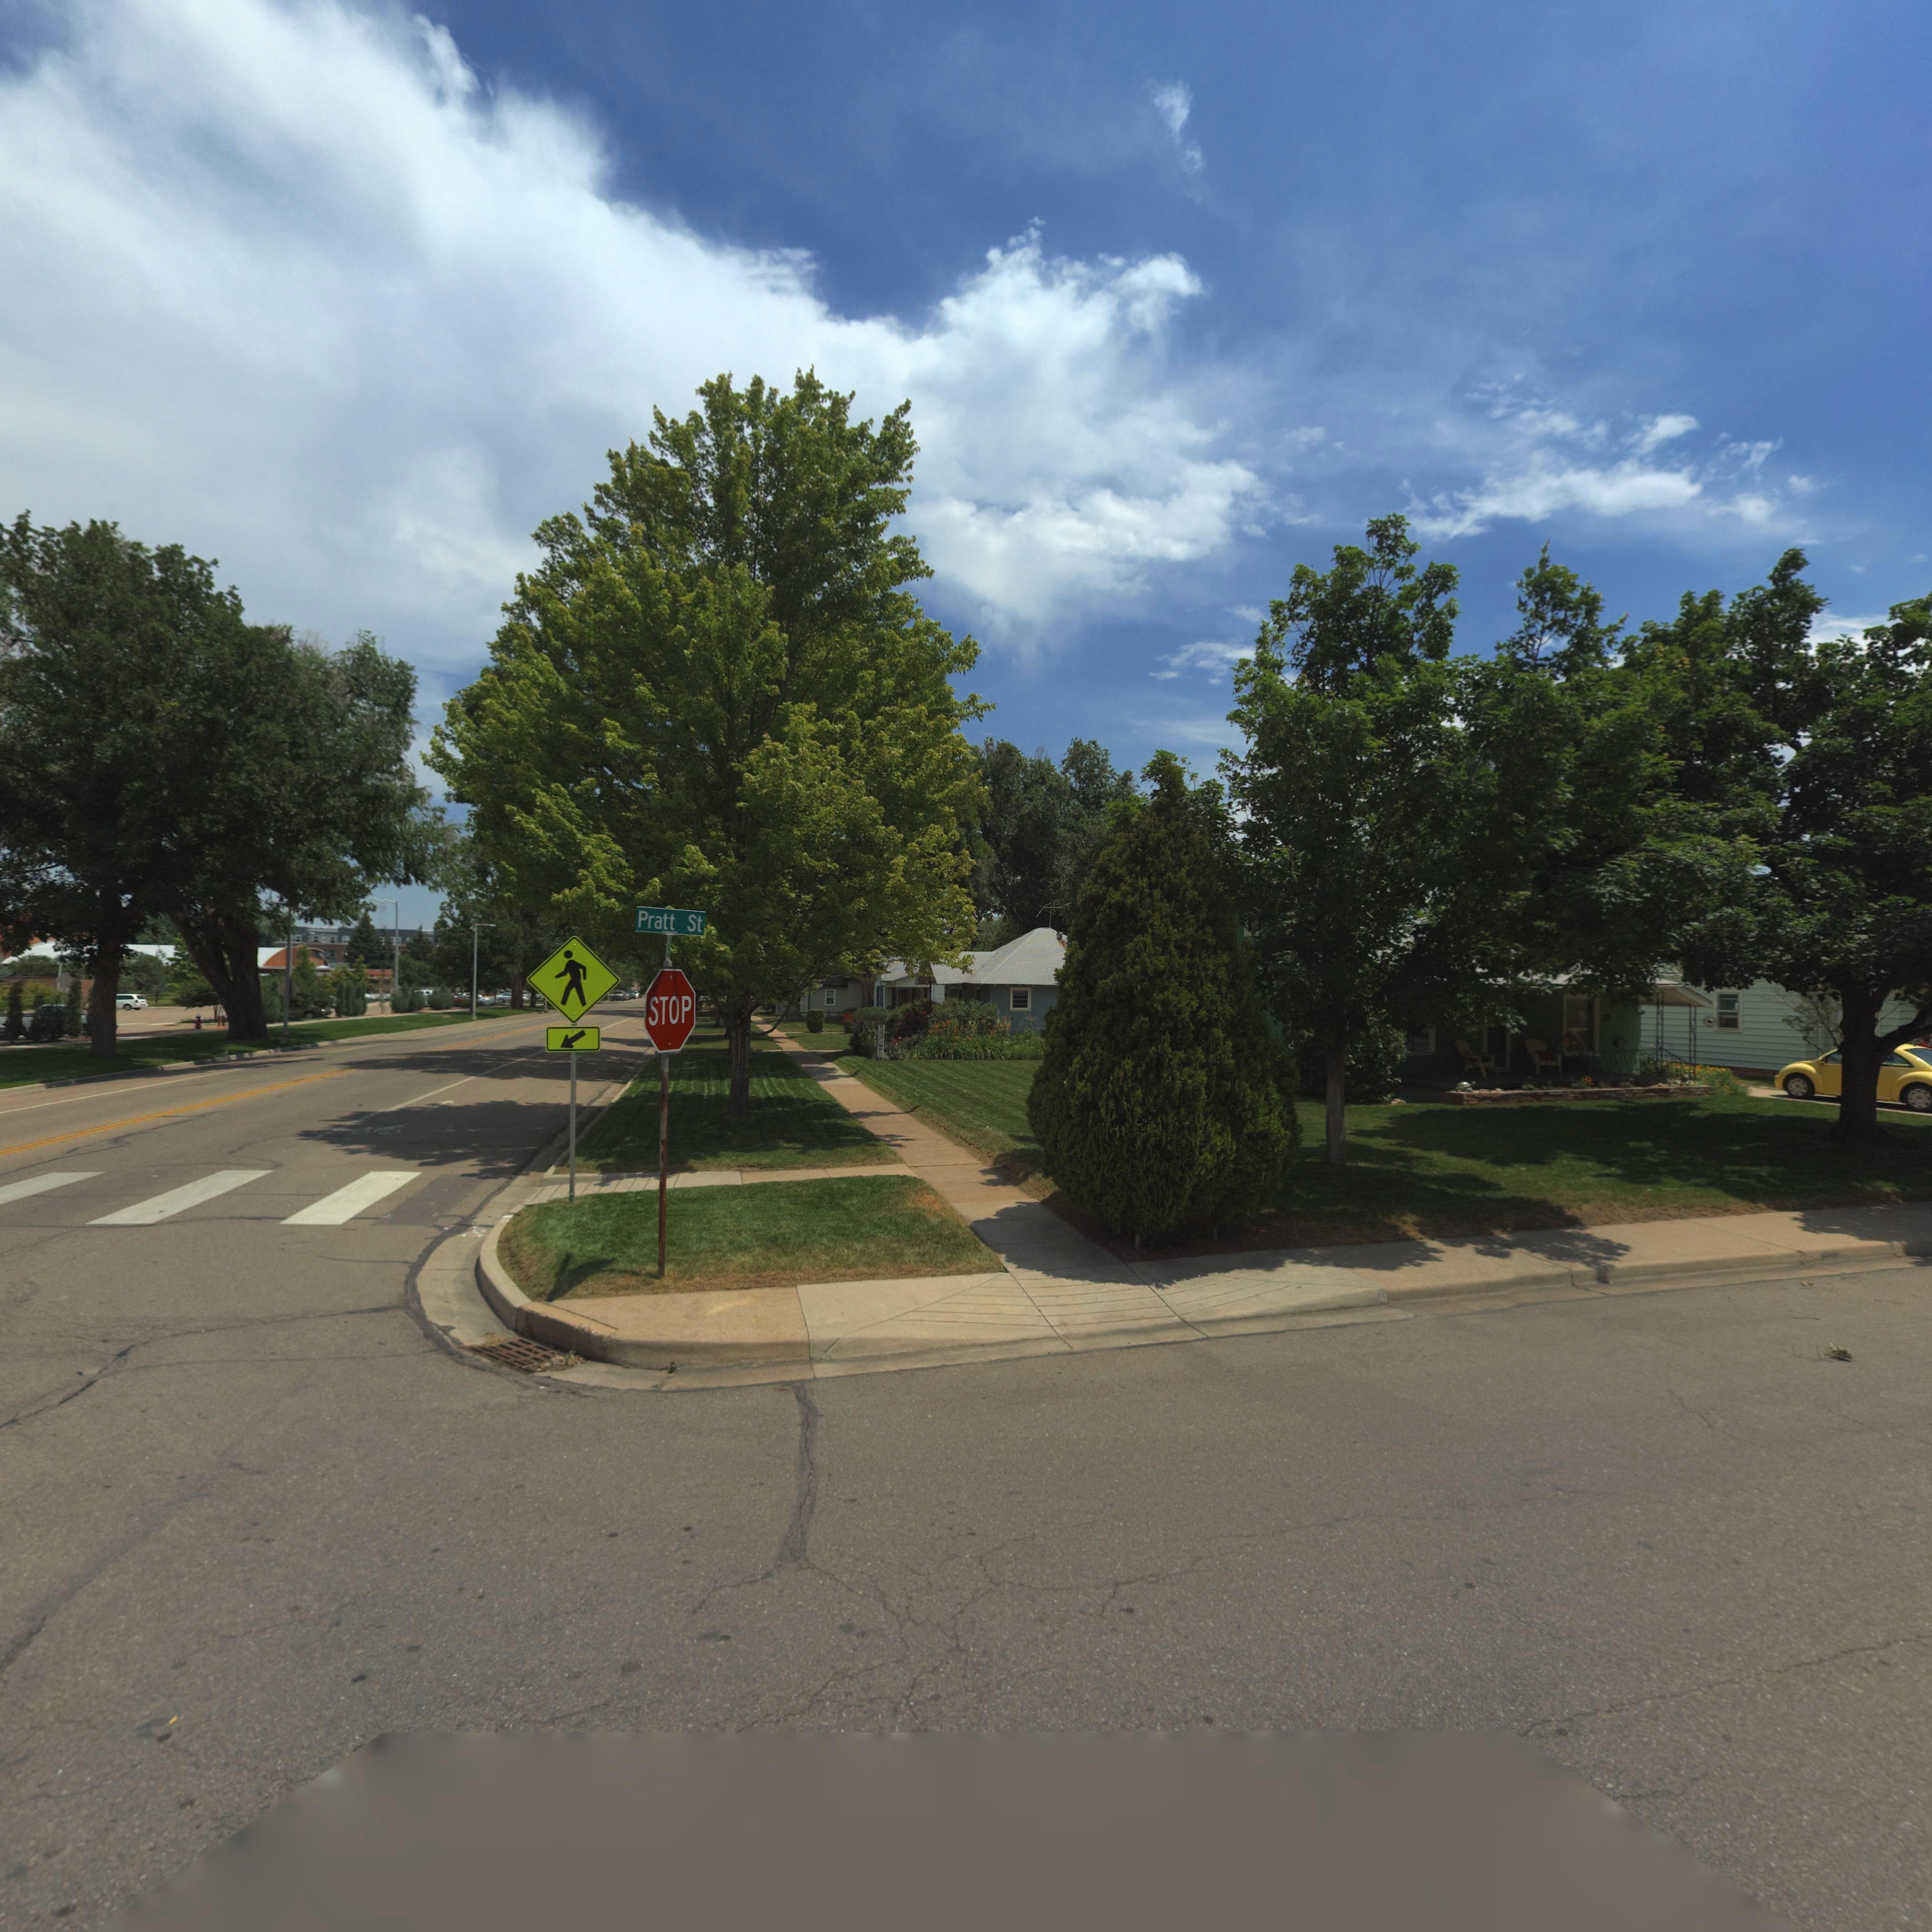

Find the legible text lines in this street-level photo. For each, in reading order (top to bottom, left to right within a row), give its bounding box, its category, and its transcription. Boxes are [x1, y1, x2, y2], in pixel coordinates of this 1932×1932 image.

[638, 910, 703, 932] StreetName: Pratt St